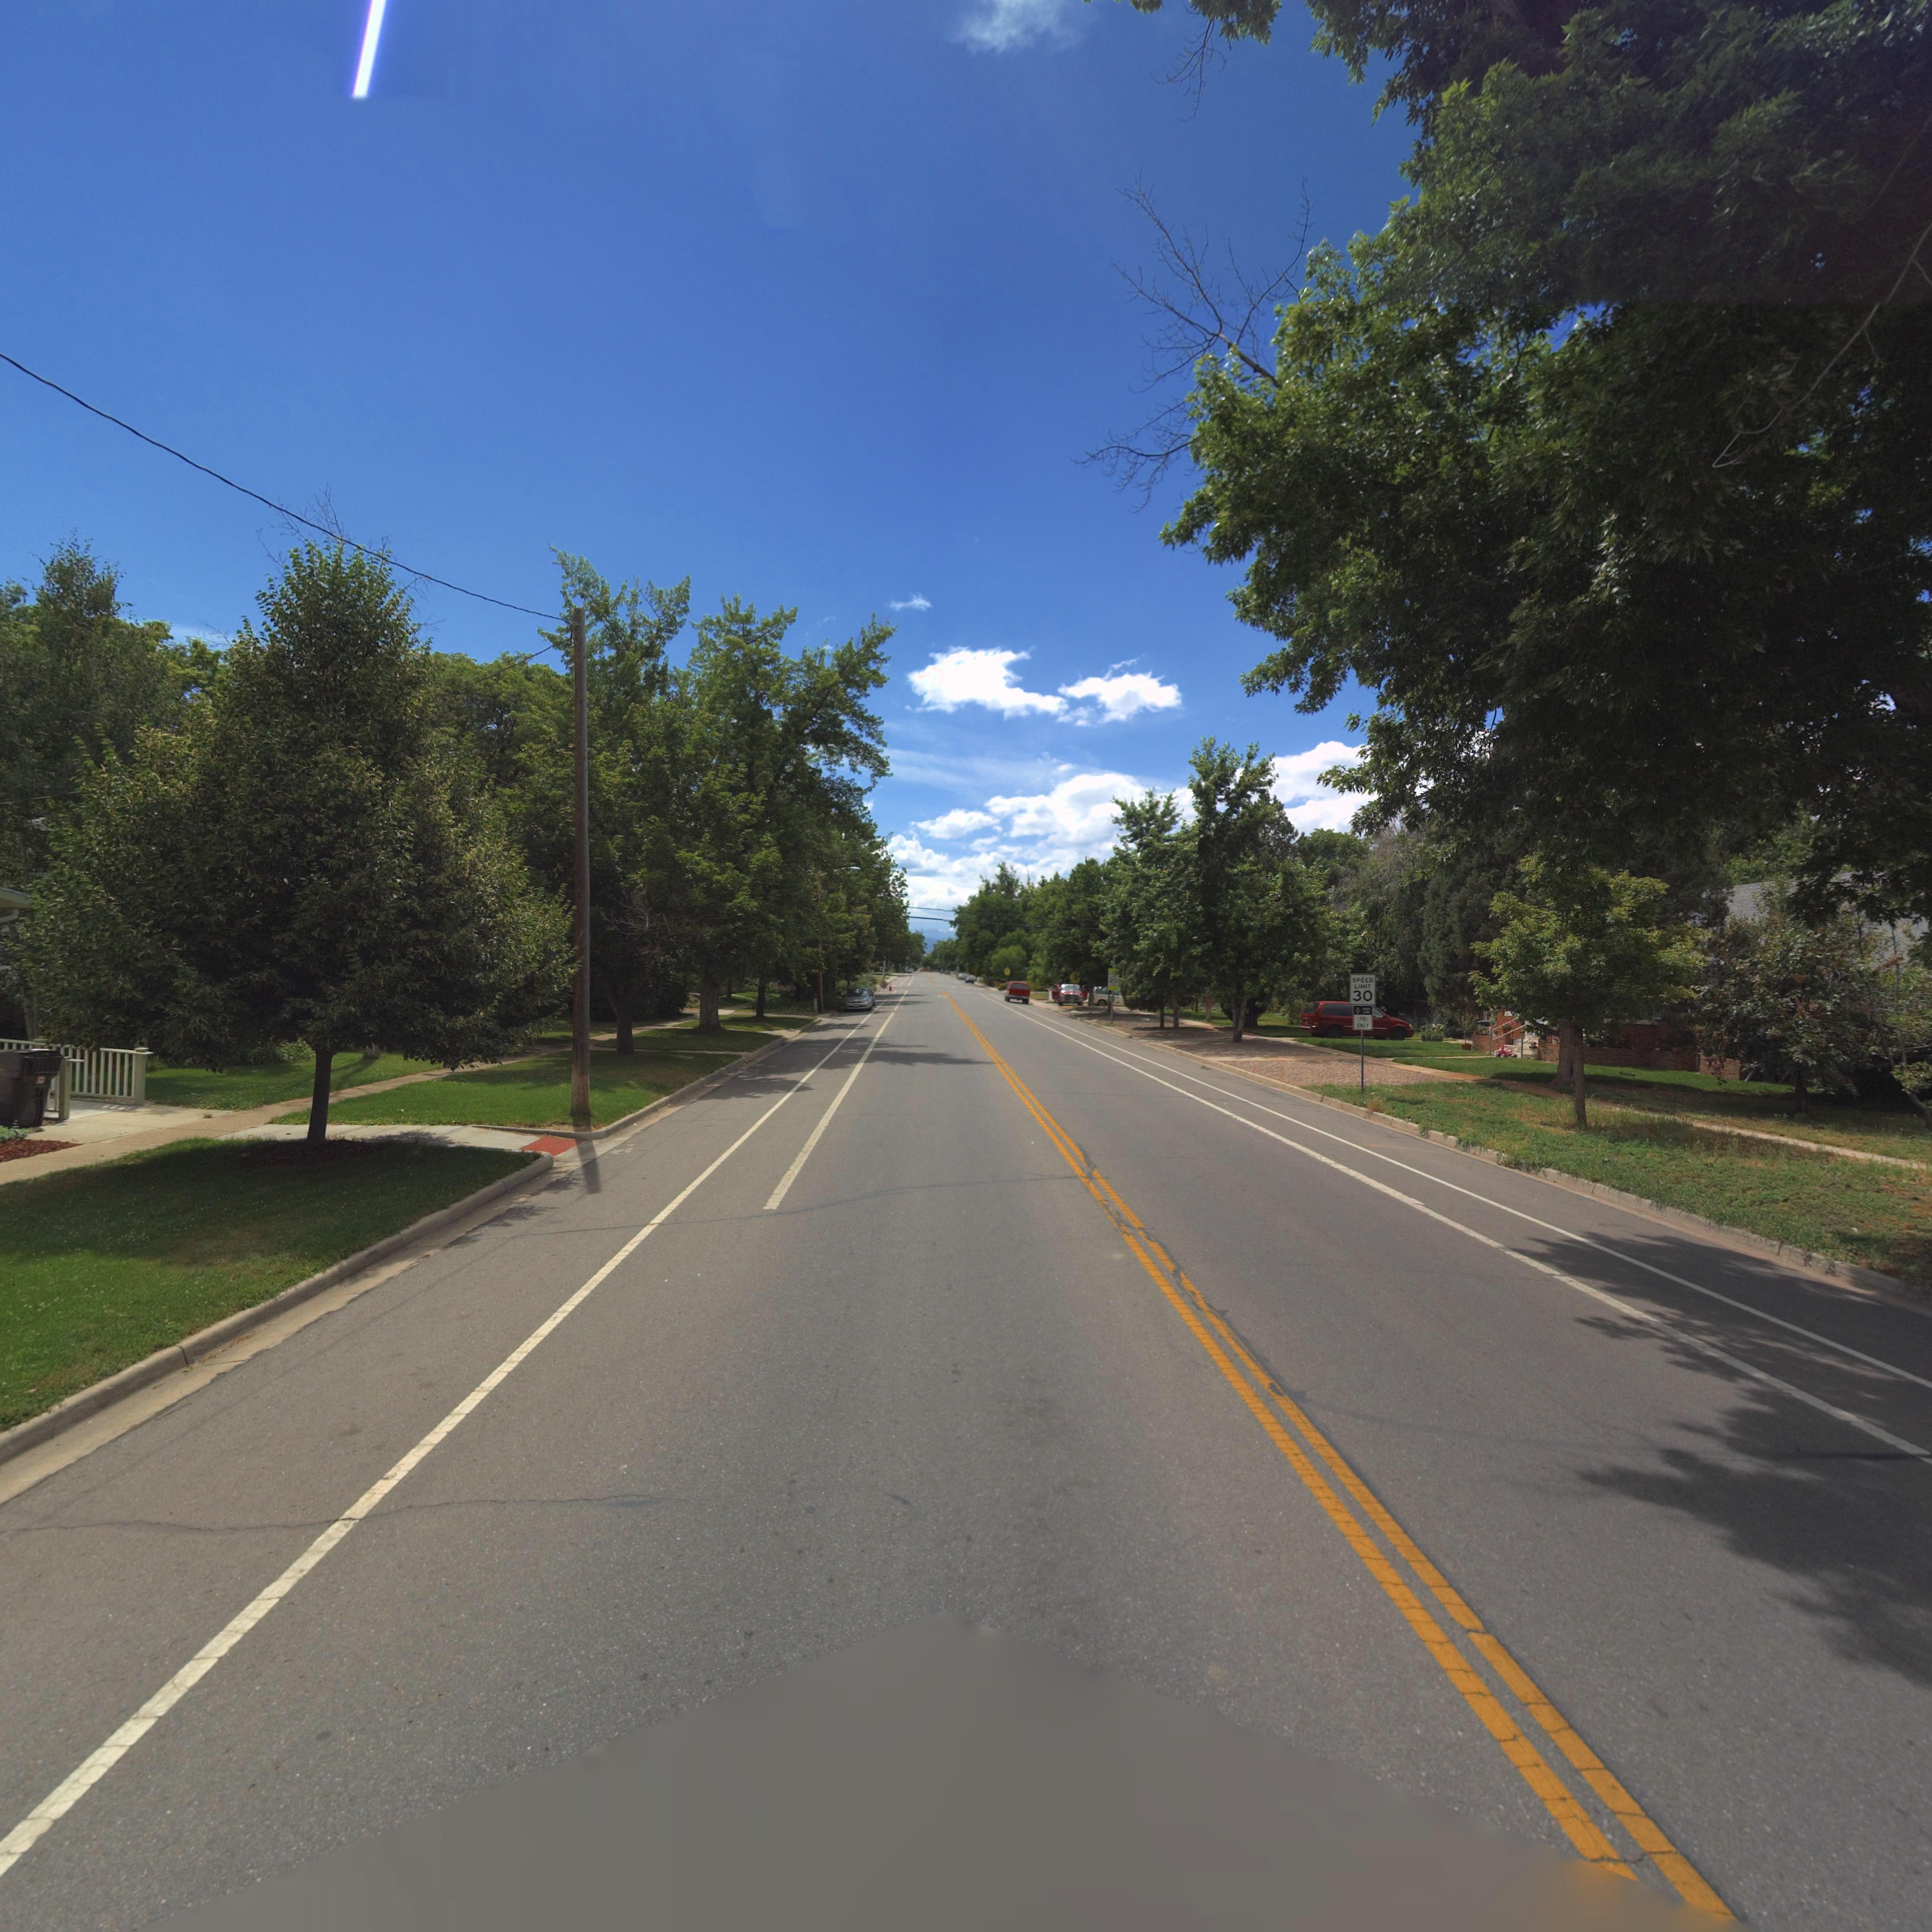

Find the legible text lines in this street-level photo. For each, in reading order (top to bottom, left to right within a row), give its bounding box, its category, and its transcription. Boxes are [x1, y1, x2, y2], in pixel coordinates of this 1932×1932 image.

[1352, 990, 1372, 1002] StreetNumber: 30